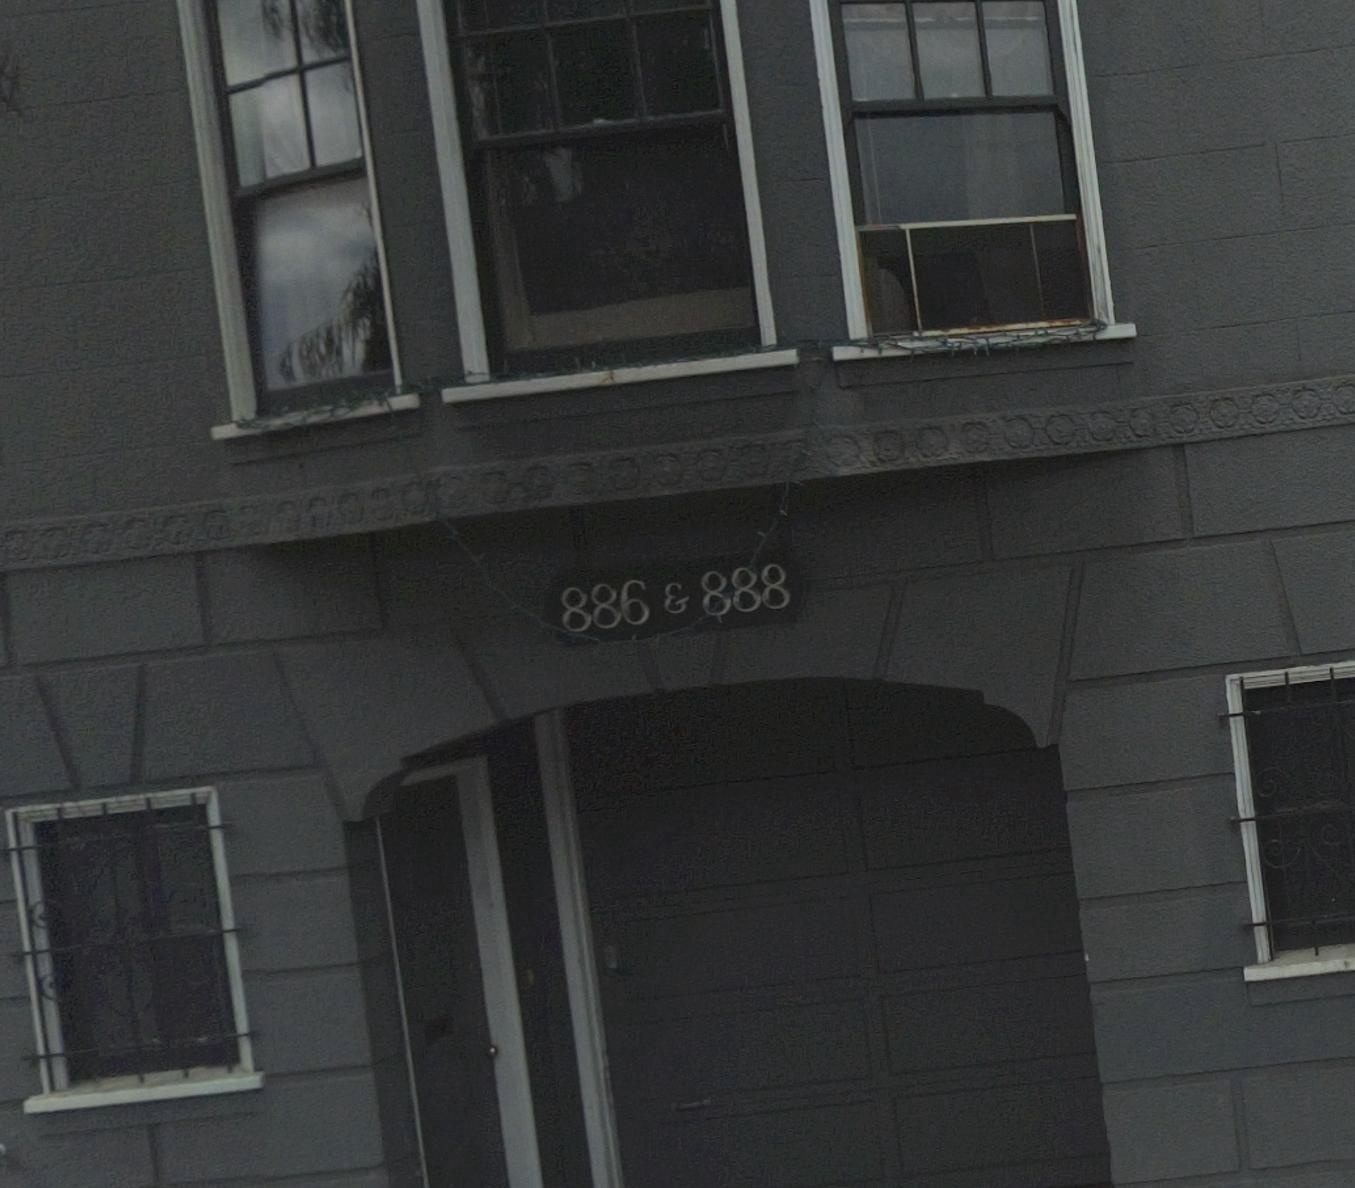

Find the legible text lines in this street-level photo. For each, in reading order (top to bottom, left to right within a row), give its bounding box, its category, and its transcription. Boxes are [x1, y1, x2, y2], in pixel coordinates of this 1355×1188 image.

[555, 575, 653, 637] StreetNumber: 886
[696, 560, 792, 620] StreetNumber: 888